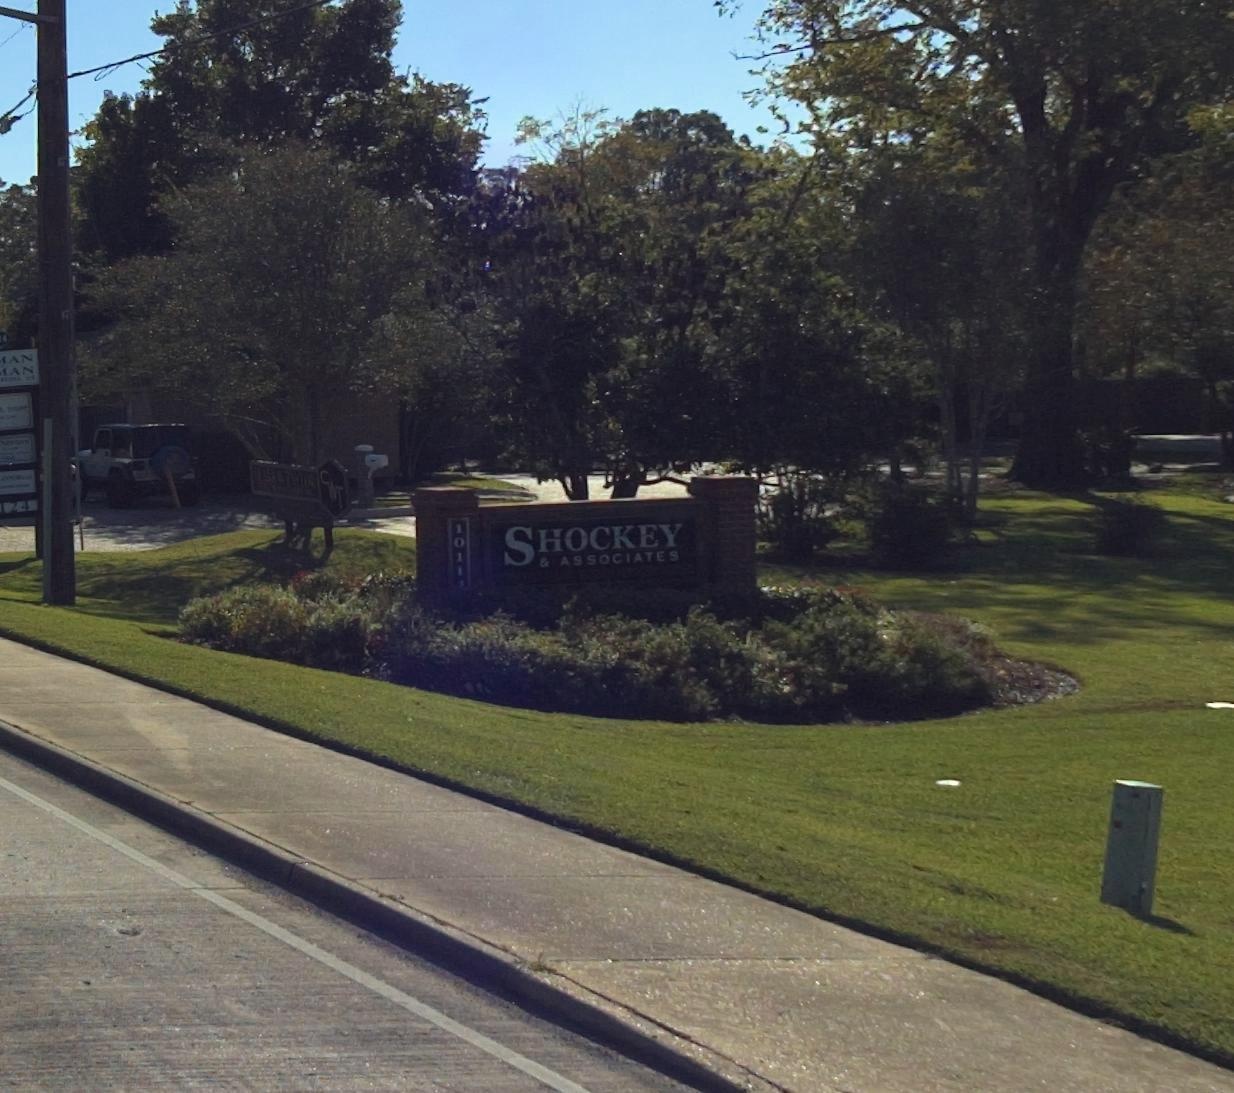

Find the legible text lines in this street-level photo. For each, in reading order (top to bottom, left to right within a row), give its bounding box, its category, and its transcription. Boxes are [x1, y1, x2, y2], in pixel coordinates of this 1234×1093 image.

[6, 351, 36, 366] BusinessName: AN
[7, 364, 36, 377] BusinessName: AN
[318, 468, 346, 513] None: C*T
[8, 497, 31, 515] StreetName: 24
[452, 521, 467, 579] StreetNumber: 1011
[501, 521, 686, 569] BusinessName: SHOCKEY
[556, 547, 683, 569] BusinessName: ASSOCIATES